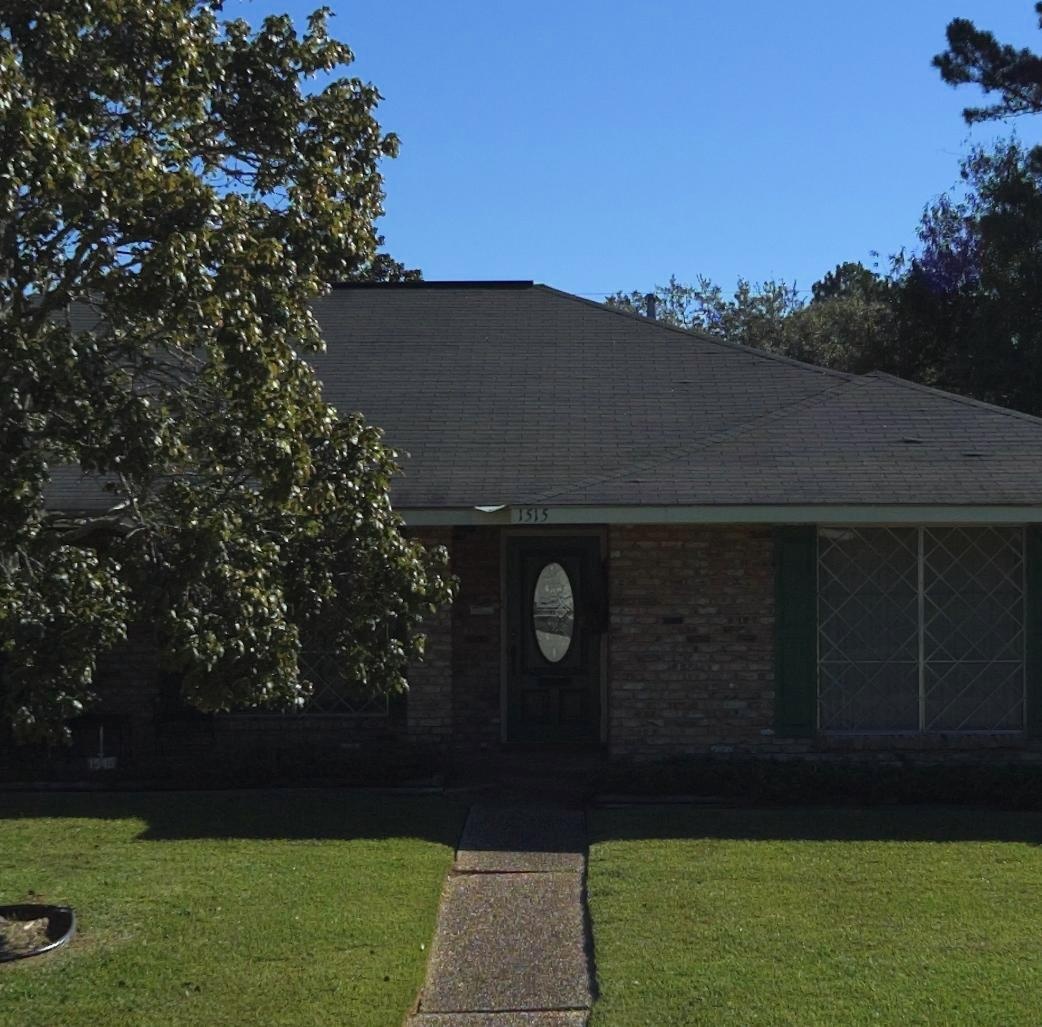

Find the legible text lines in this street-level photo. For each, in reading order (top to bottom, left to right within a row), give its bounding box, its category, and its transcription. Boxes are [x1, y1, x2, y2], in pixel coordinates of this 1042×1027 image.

[516, 505, 550, 524] StreetNumber: 1515
[87, 756, 117, 771] StreetNumber: 151*